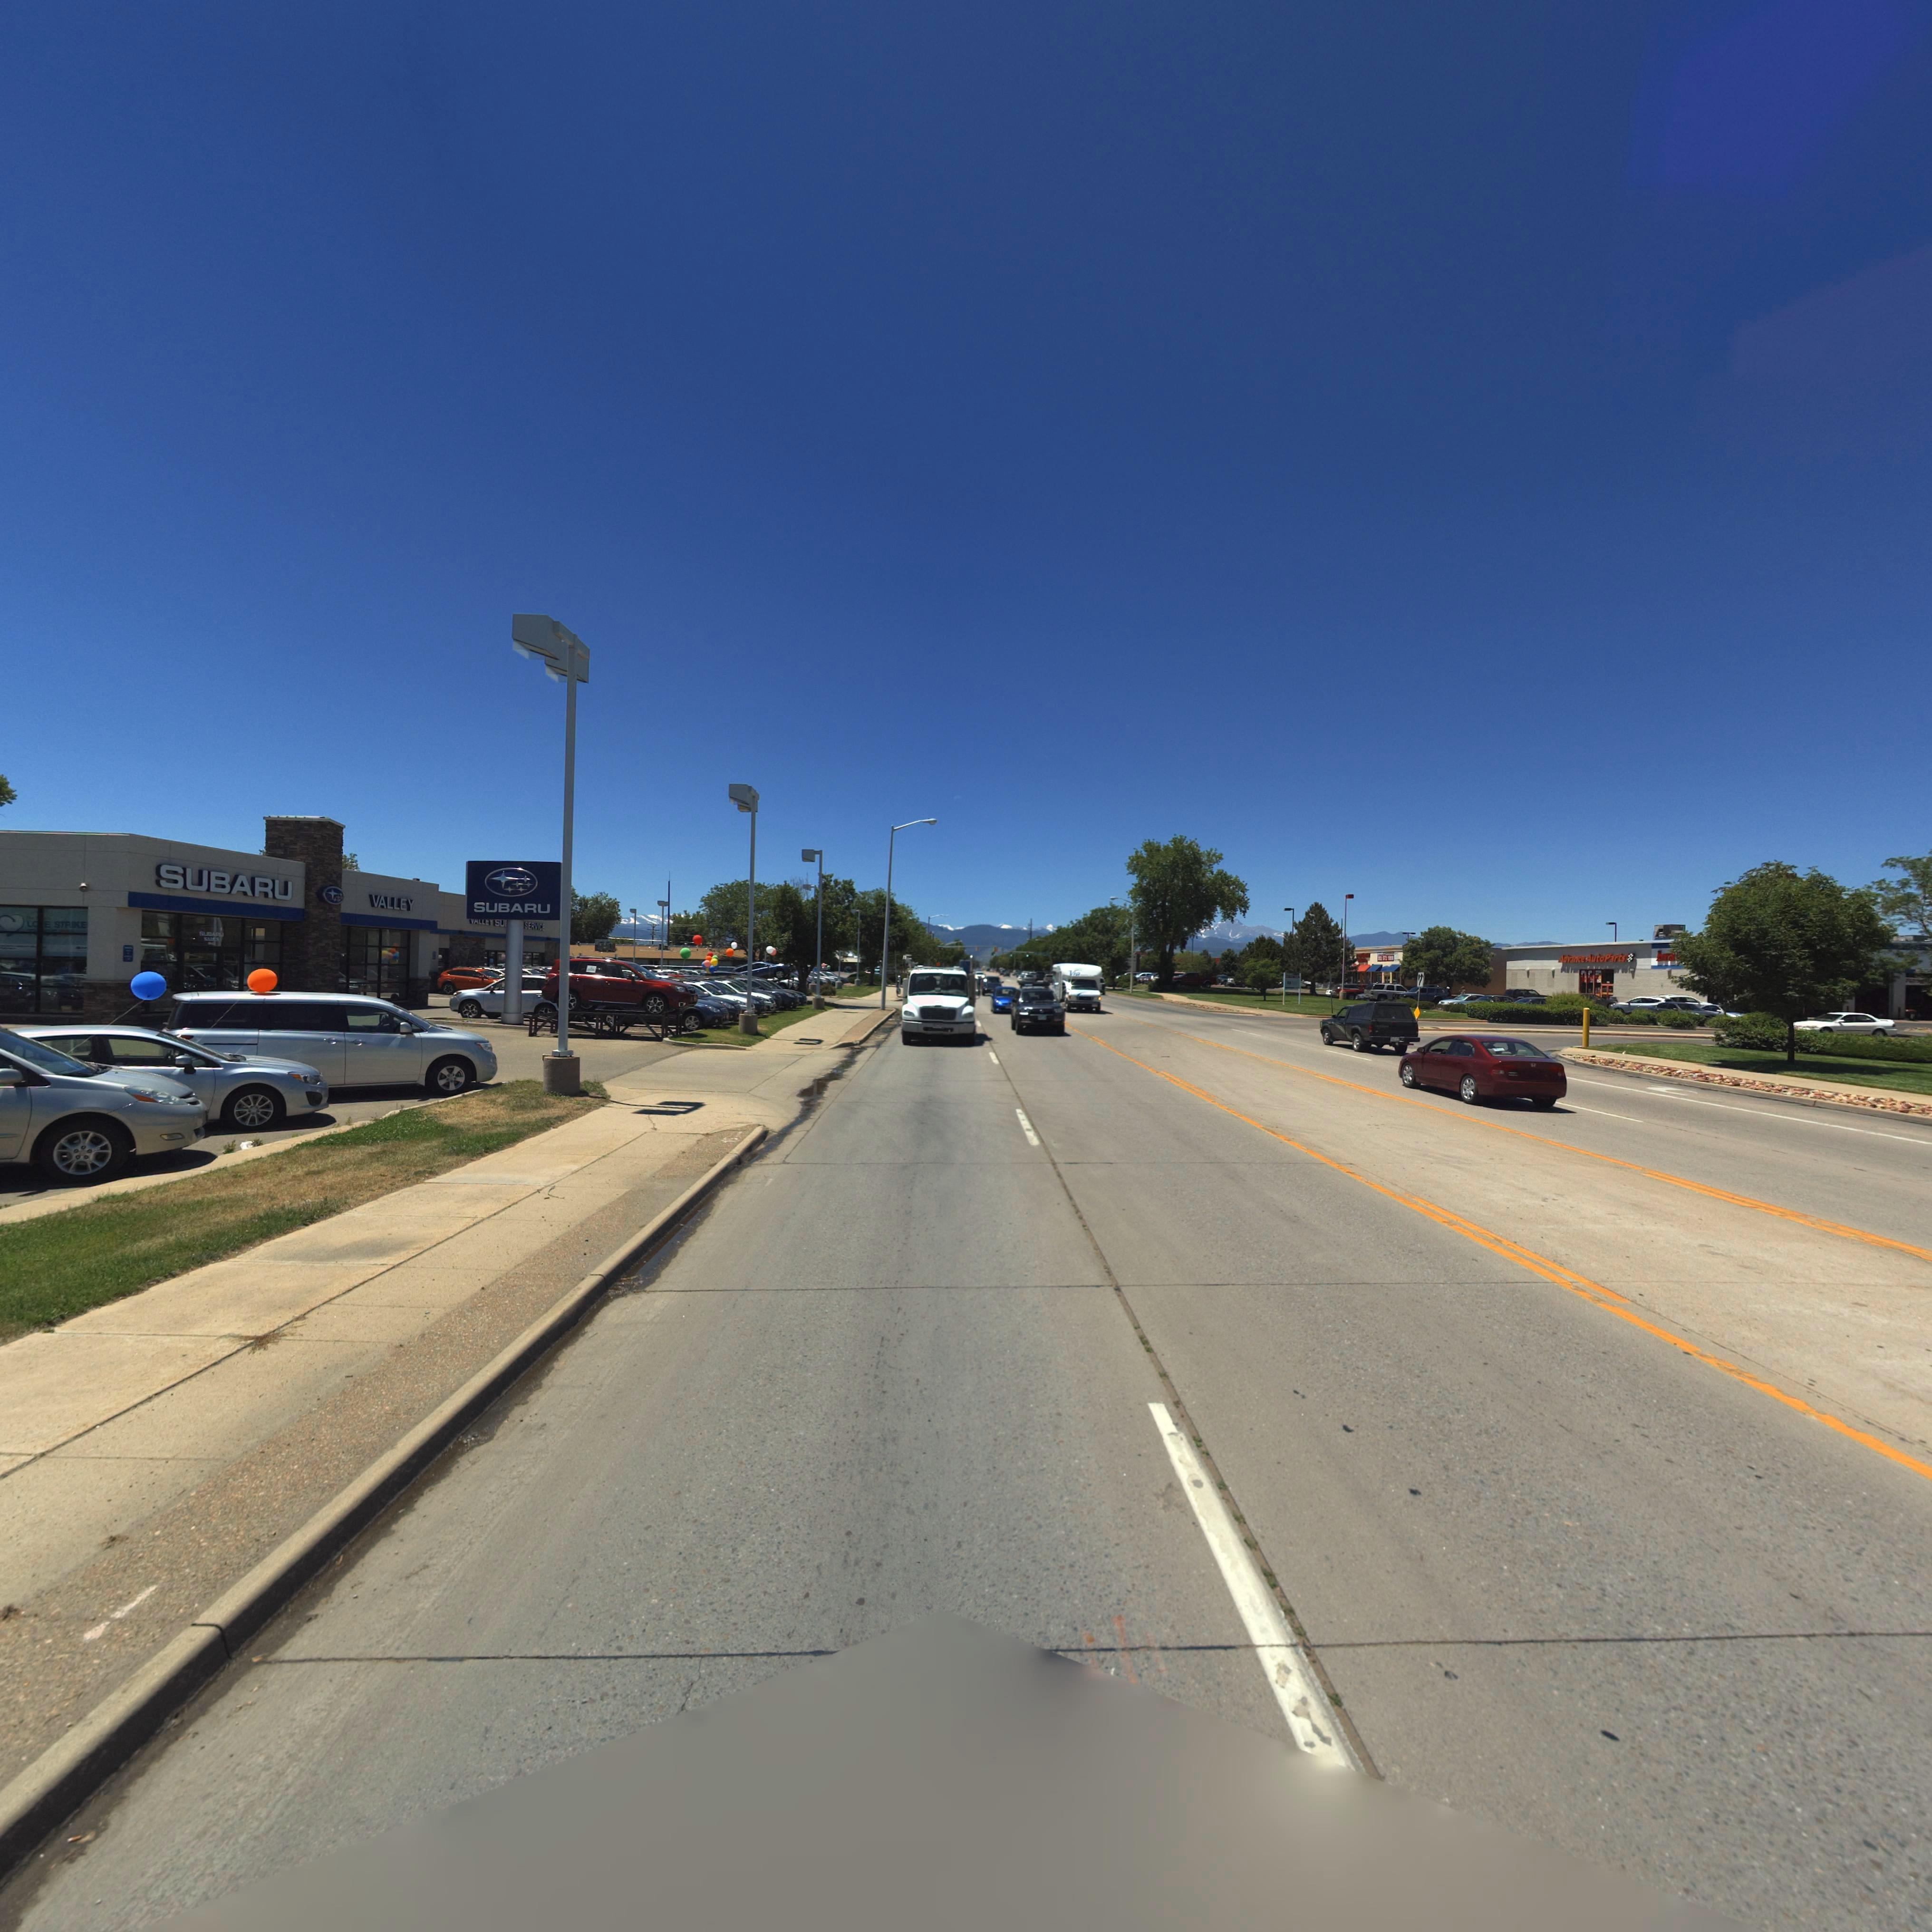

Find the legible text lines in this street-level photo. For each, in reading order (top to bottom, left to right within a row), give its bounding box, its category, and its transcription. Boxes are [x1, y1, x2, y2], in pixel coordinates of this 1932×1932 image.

[155, 863, 293, 901] BusinessName: SUBARU
[368, 893, 415, 911] BusinessName: VALLEY
[473, 902, 551, 914] BusinessName: SUBARU
[469, 915, 546, 932] BusinessName: VALL*Y SU**** SERVICE
[199, 931, 224, 937] BusinessName: SUB***
[1557, 953, 1626, 963] BusinessName: Advance AutoParts
[1656, 949, 1675, 962] BusinessName: bra